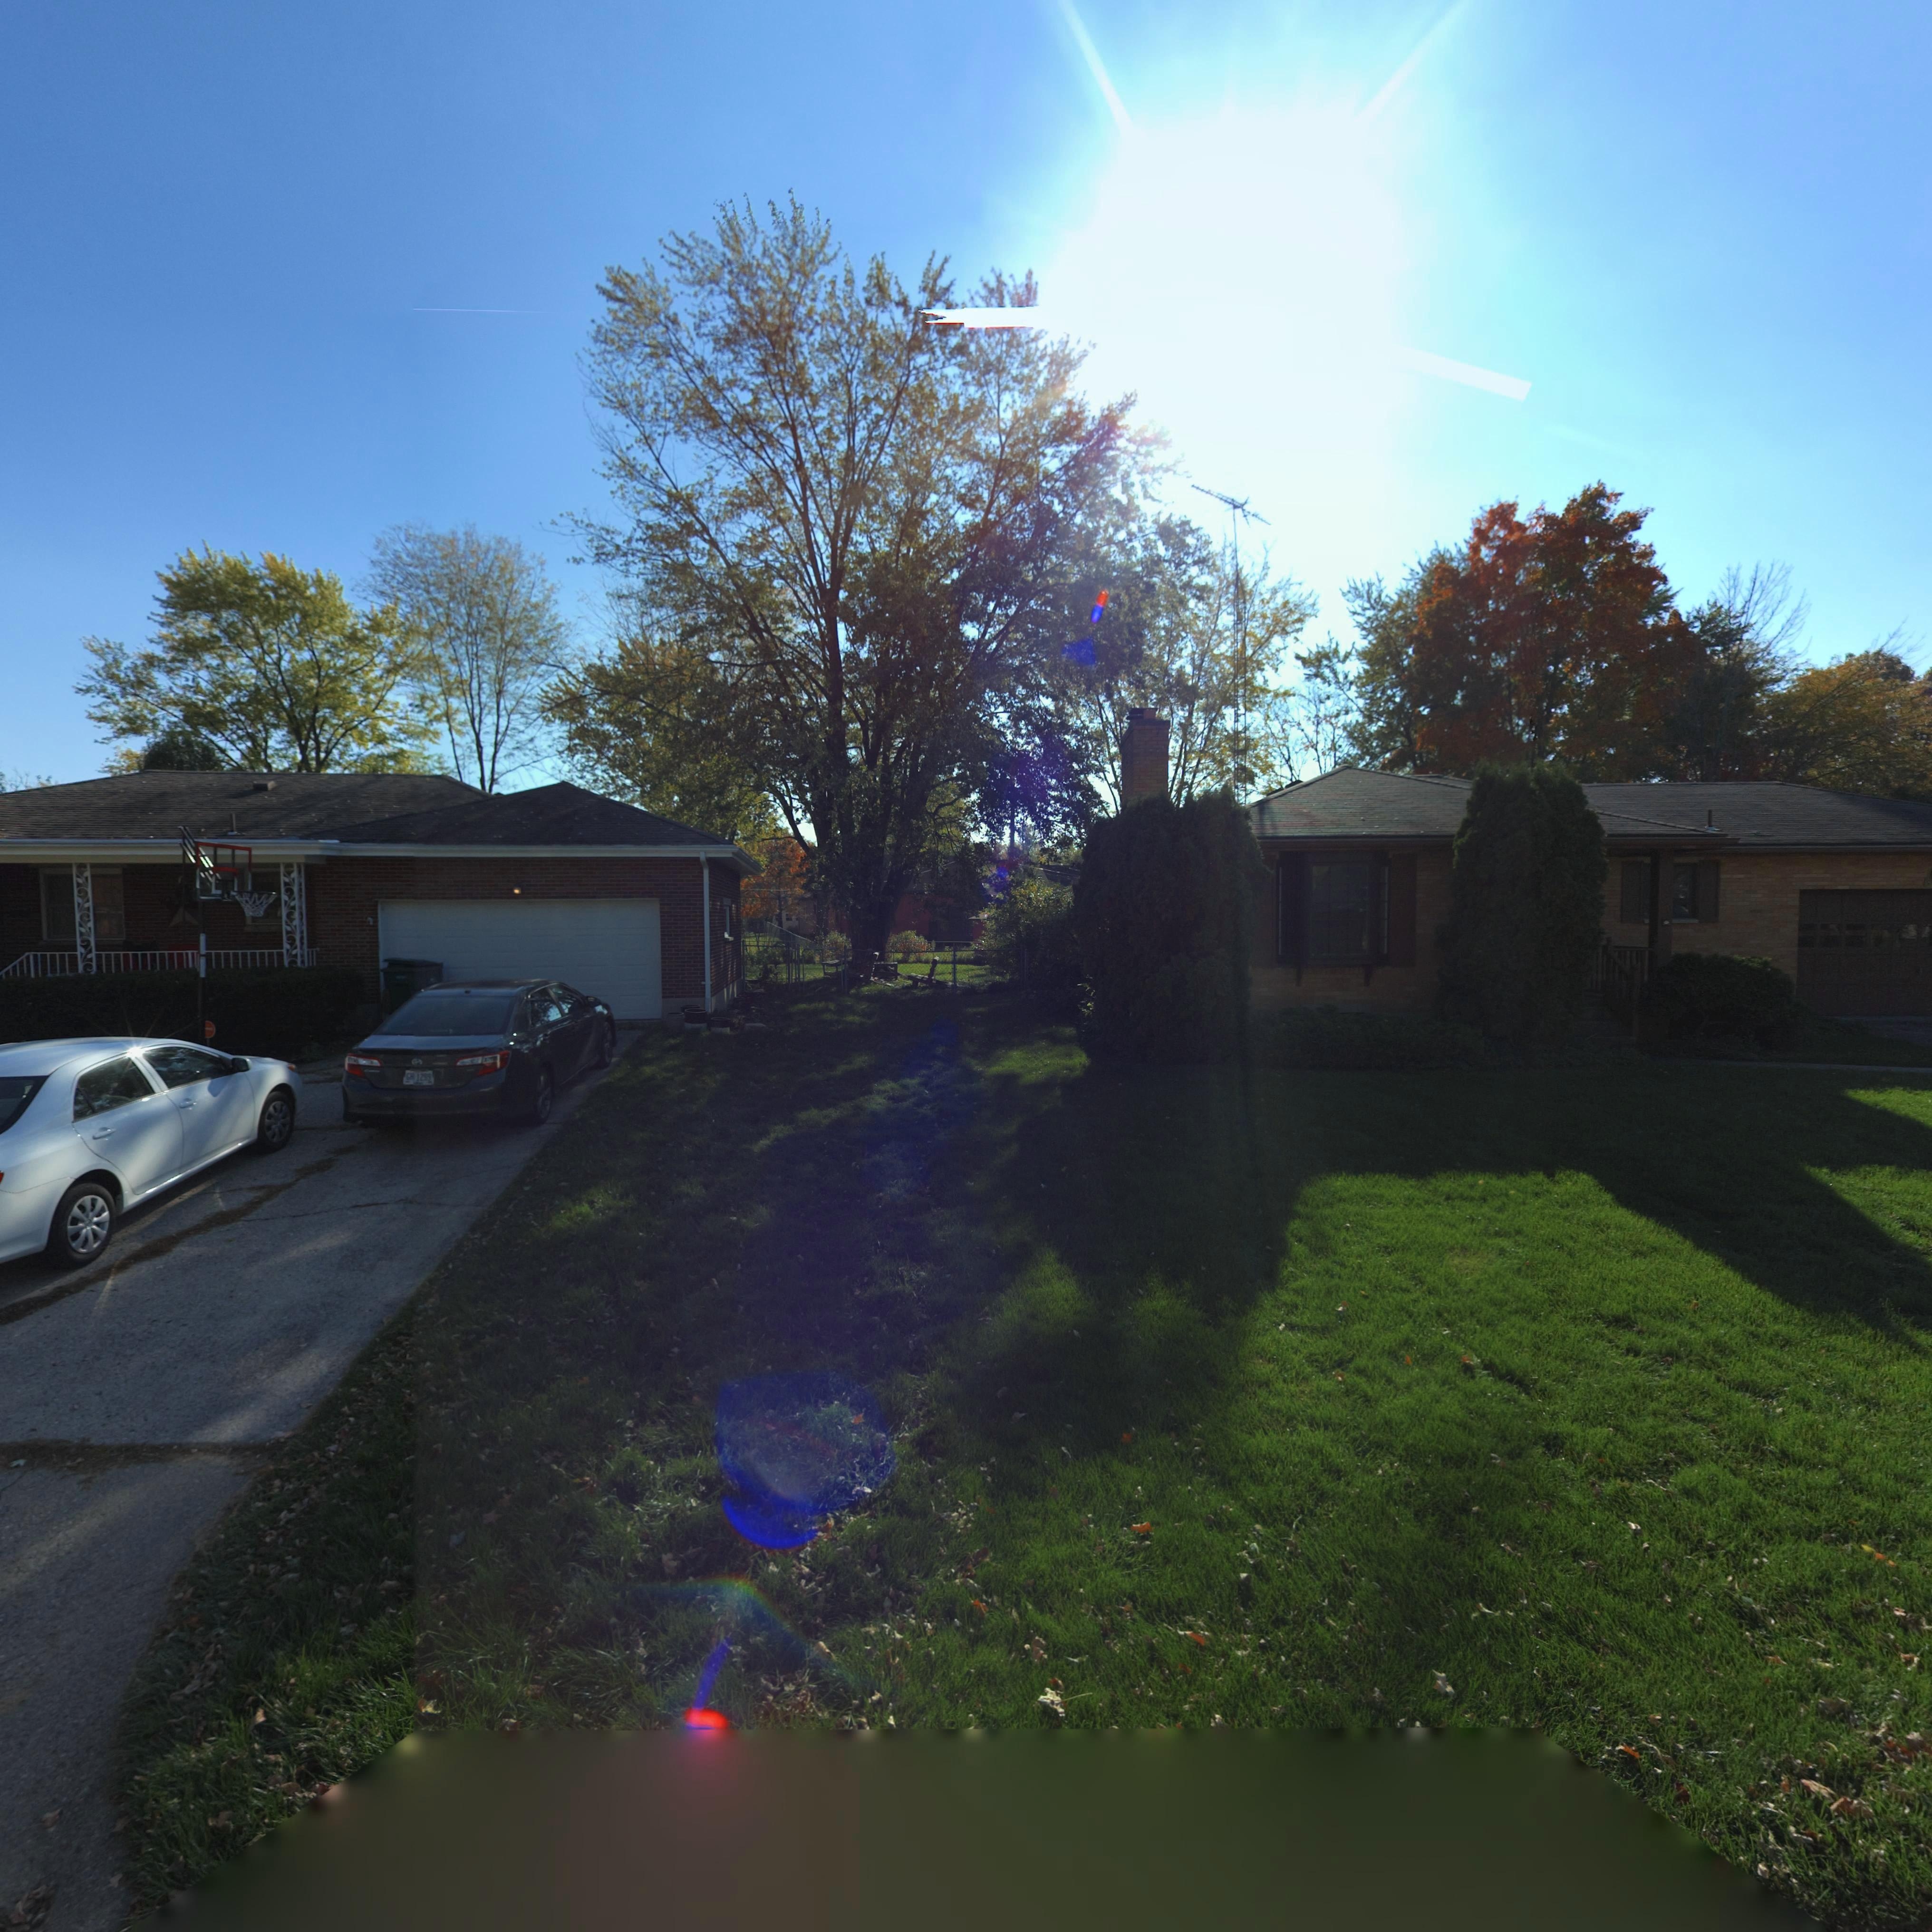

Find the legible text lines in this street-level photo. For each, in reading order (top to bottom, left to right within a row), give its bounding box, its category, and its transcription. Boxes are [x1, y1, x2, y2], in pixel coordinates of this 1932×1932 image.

[406, 1072, 432, 1082] None: GH**1299